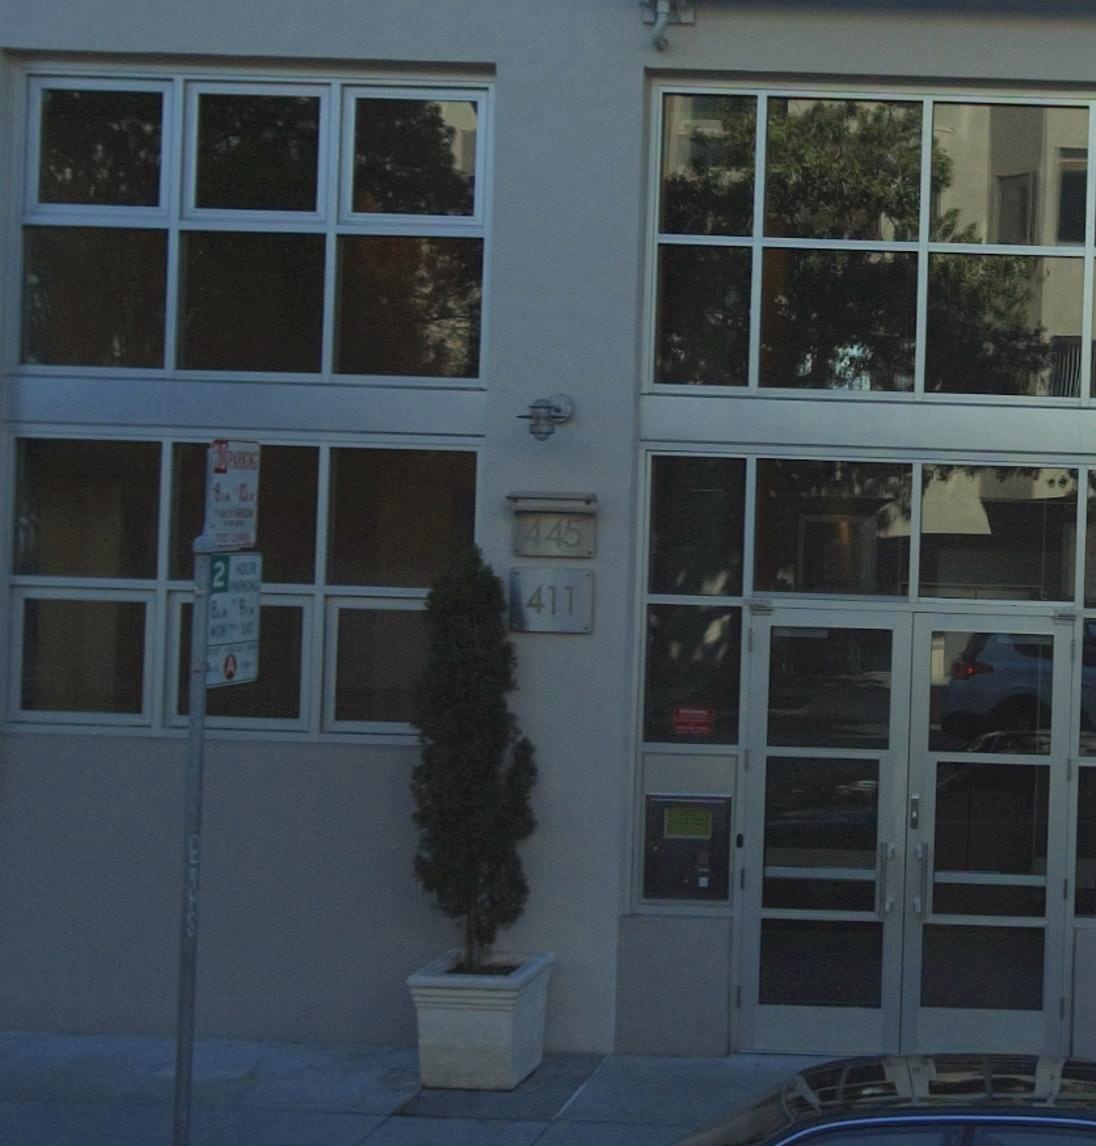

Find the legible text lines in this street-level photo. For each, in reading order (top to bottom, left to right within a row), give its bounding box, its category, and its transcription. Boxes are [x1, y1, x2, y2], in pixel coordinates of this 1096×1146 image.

[218, 442, 259, 472] None: O PARKING
[213, 481, 223, 503] None: 8
[521, 513, 584, 550] StreetNumber: 445
[212, 558, 226, 589] None: 2
[233, 559, 260, 580] None: HOUR
[209, 597, 219, 622] None: 8
[238, 597, 247, 619] None: 9
[522, 582, 576, 618] StreetNumber: 411
[223, 655, 237, 678] None: A